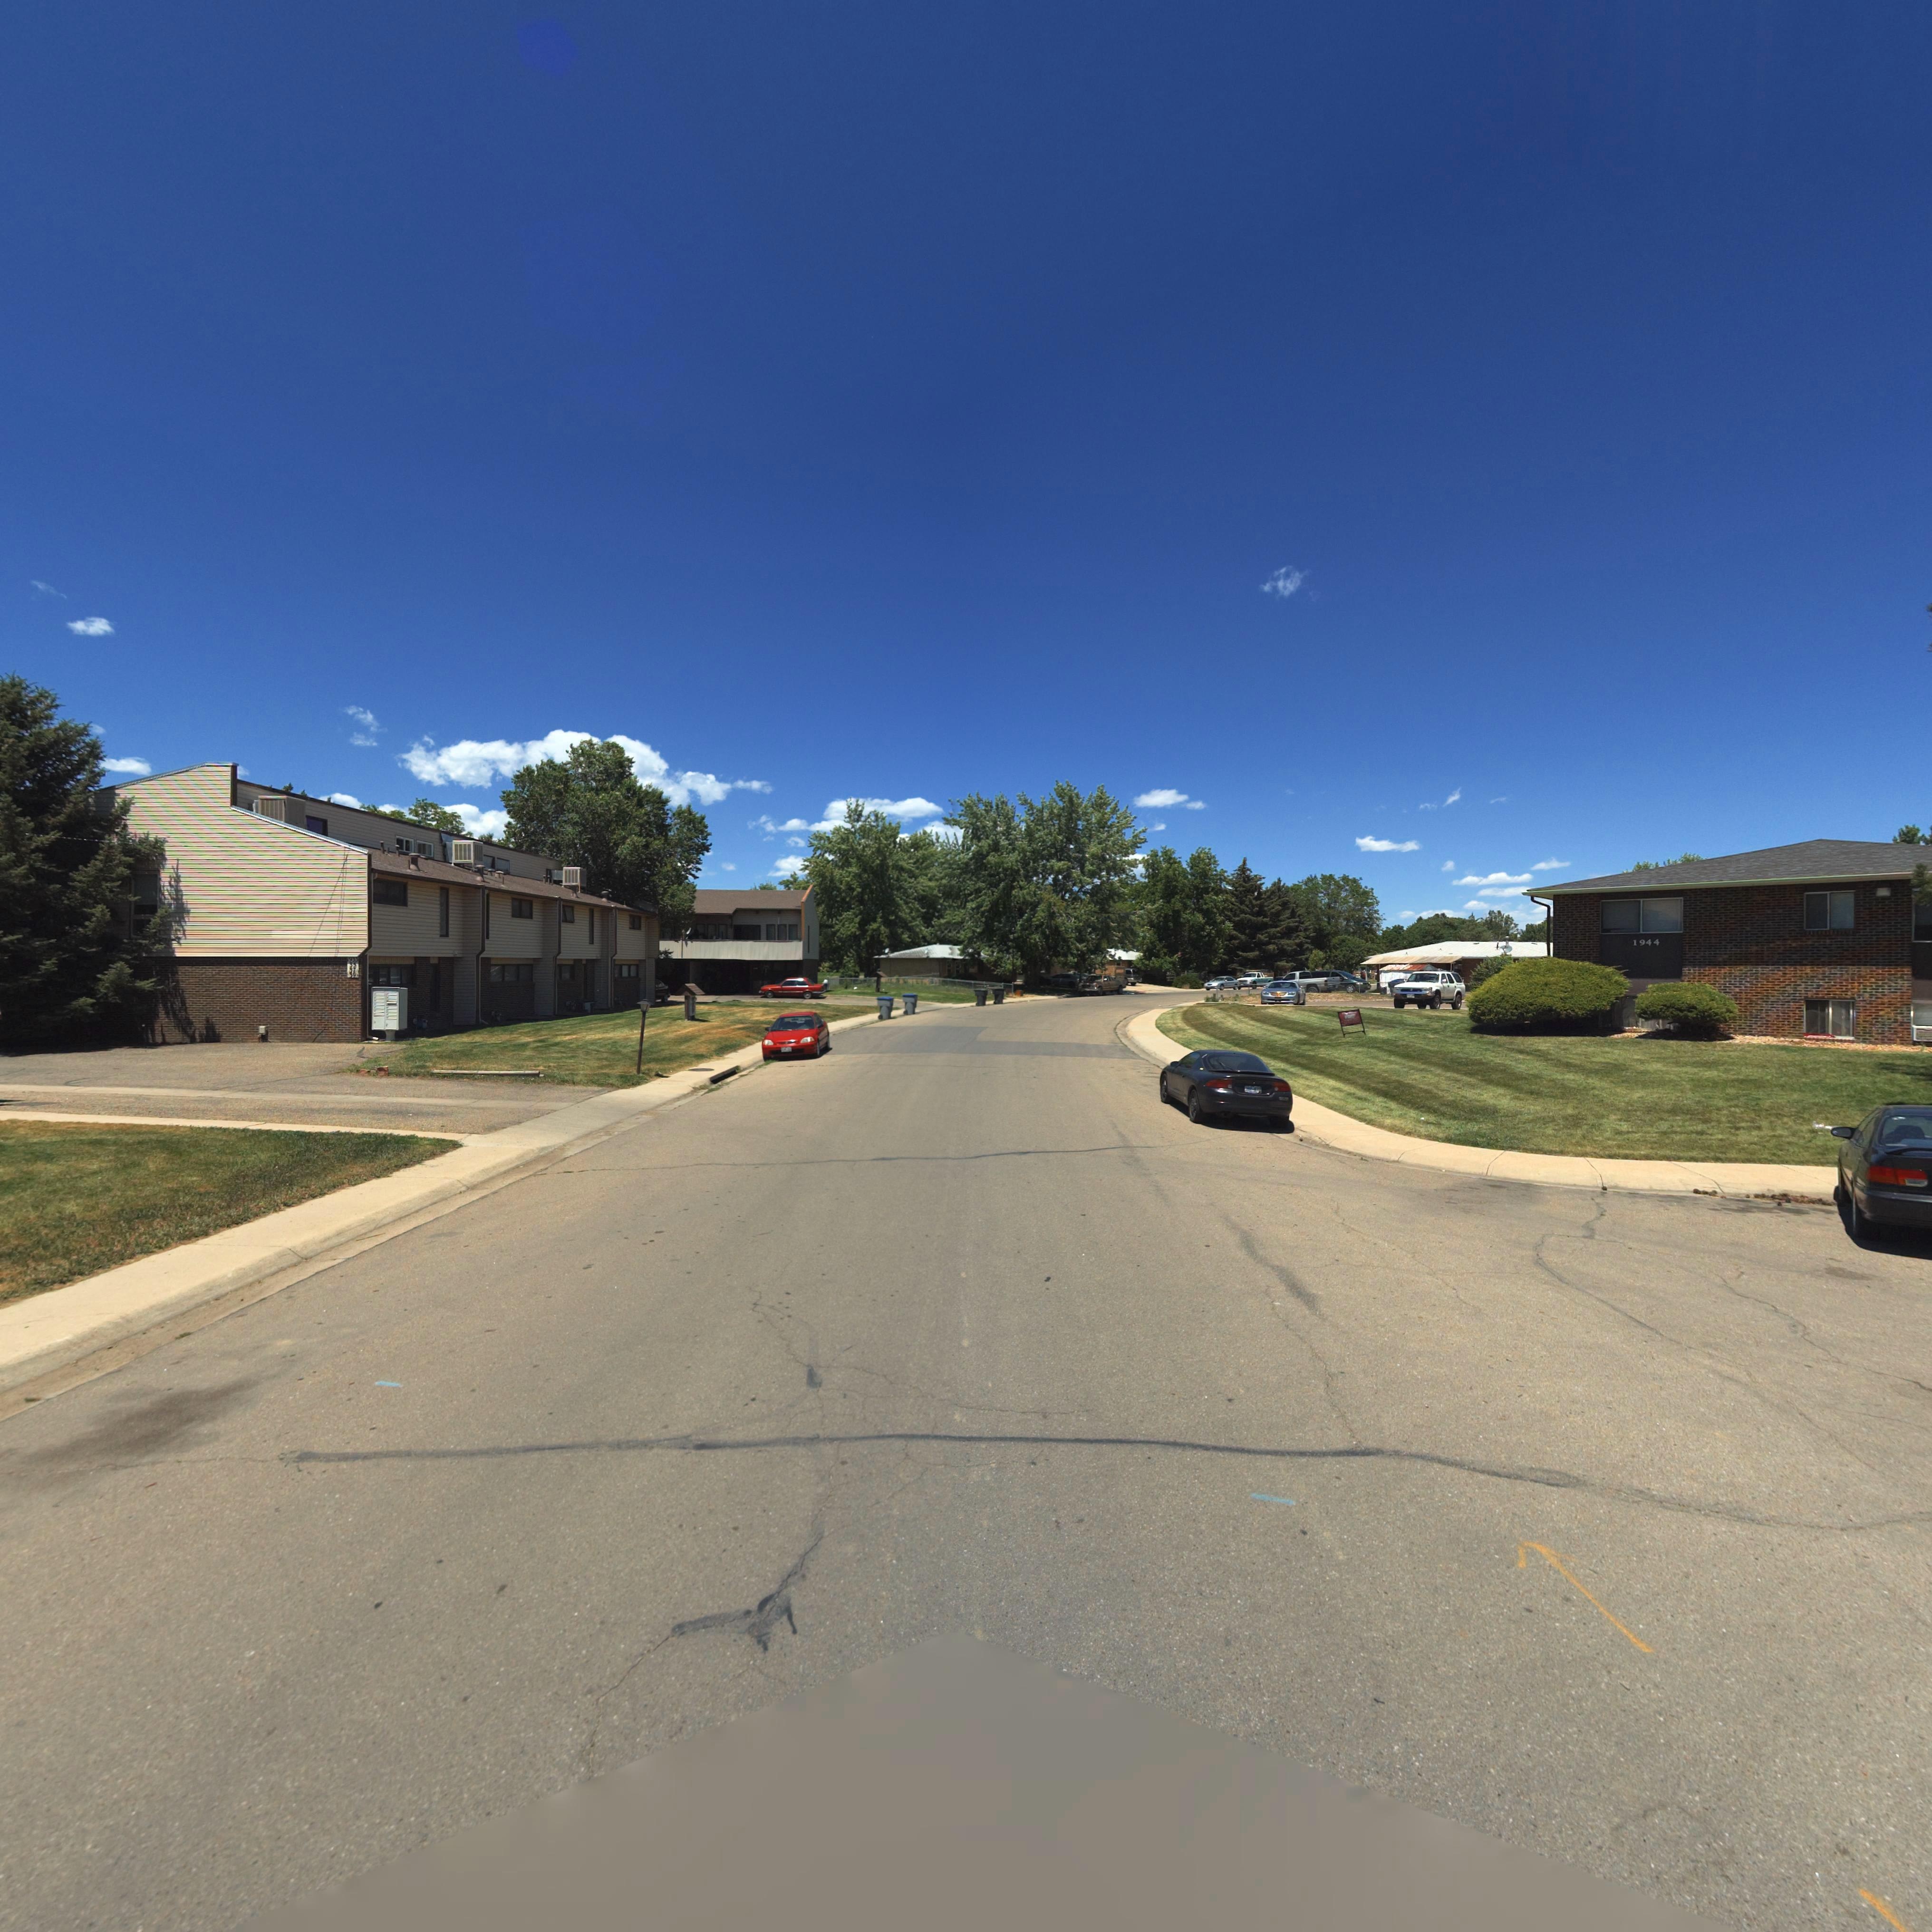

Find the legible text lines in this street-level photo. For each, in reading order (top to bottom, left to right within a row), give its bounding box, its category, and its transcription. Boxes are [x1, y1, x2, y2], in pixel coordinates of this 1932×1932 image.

[1633, 938, 1660, 946] StreetNumber: 1944
[347, 957, 358, 962] StreetNumber: 1933
[348, 962, 357, 967] StreetNumber: 35
[348, 967, 356, 973] StreetNumber: 37
[348, 972, 356, 978] StreetNumber: 39